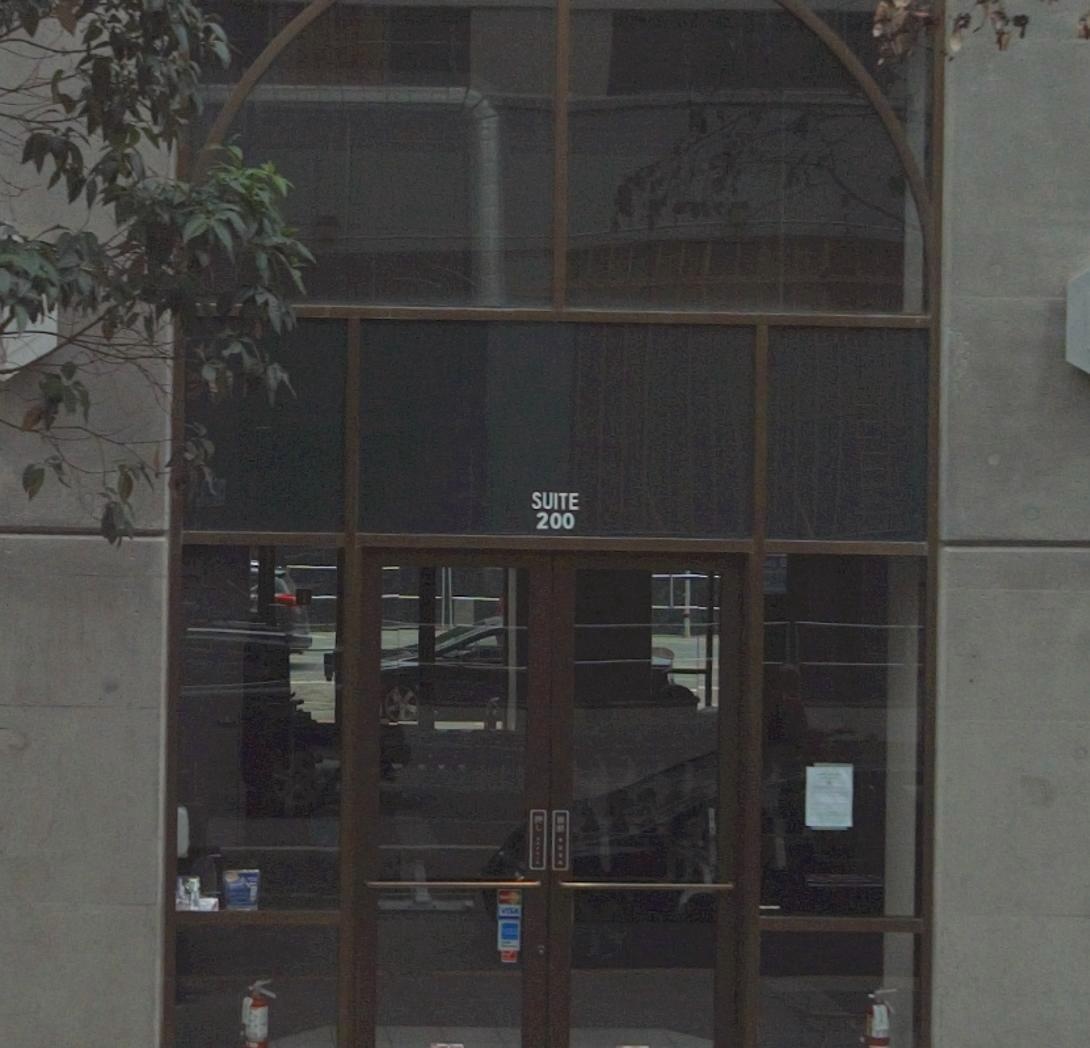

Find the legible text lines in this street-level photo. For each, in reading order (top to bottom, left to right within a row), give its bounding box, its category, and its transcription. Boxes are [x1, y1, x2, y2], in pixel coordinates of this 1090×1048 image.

[528, 489, 582, 513] SecondaryUnitDesignator: SUITE
[533, 510, 578, 532] SecondaryUnitDesignator: 200